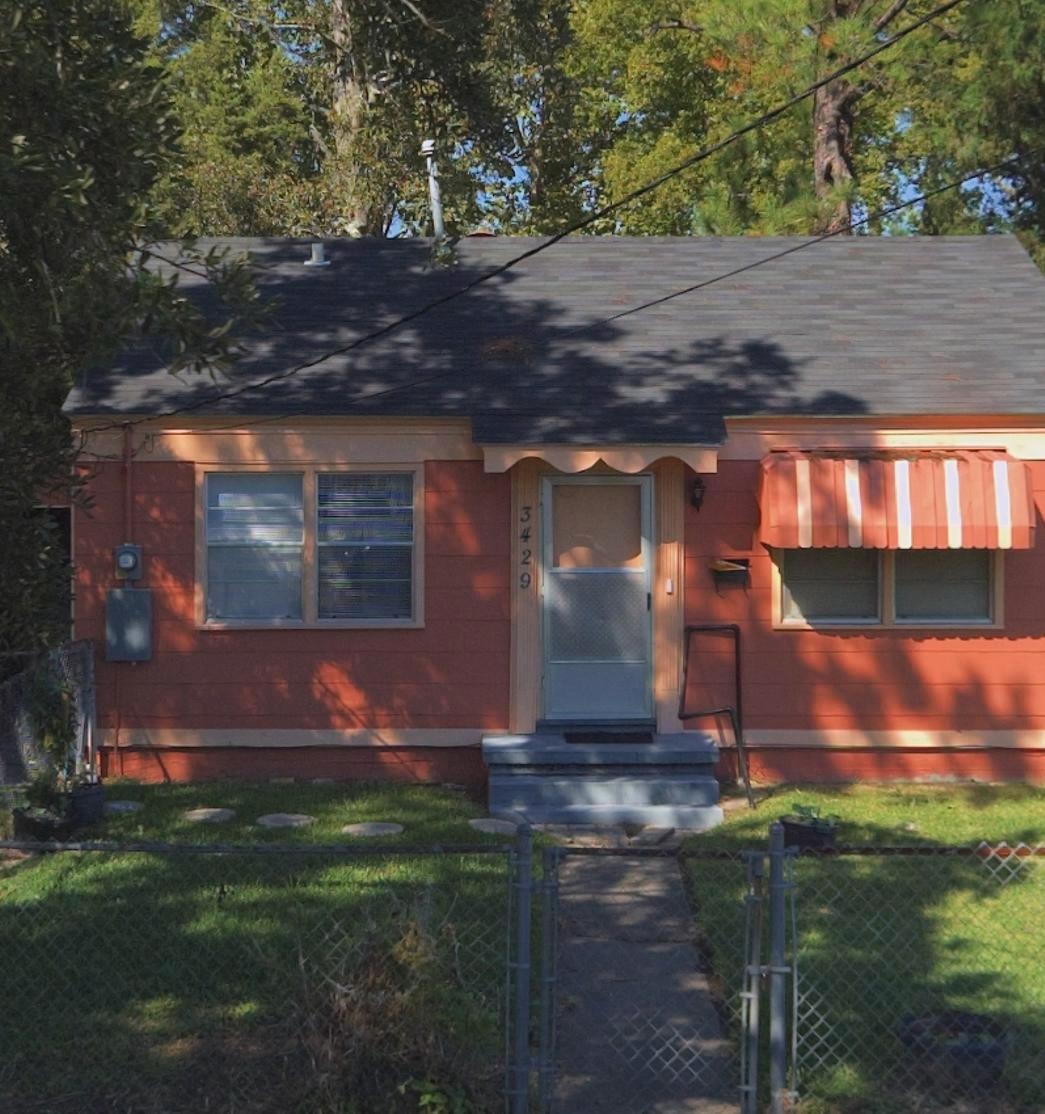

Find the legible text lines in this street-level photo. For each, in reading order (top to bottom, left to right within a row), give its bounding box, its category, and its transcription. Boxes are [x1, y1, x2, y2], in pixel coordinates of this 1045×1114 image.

[518, 504, 533, 590] StreetNumber: 3429